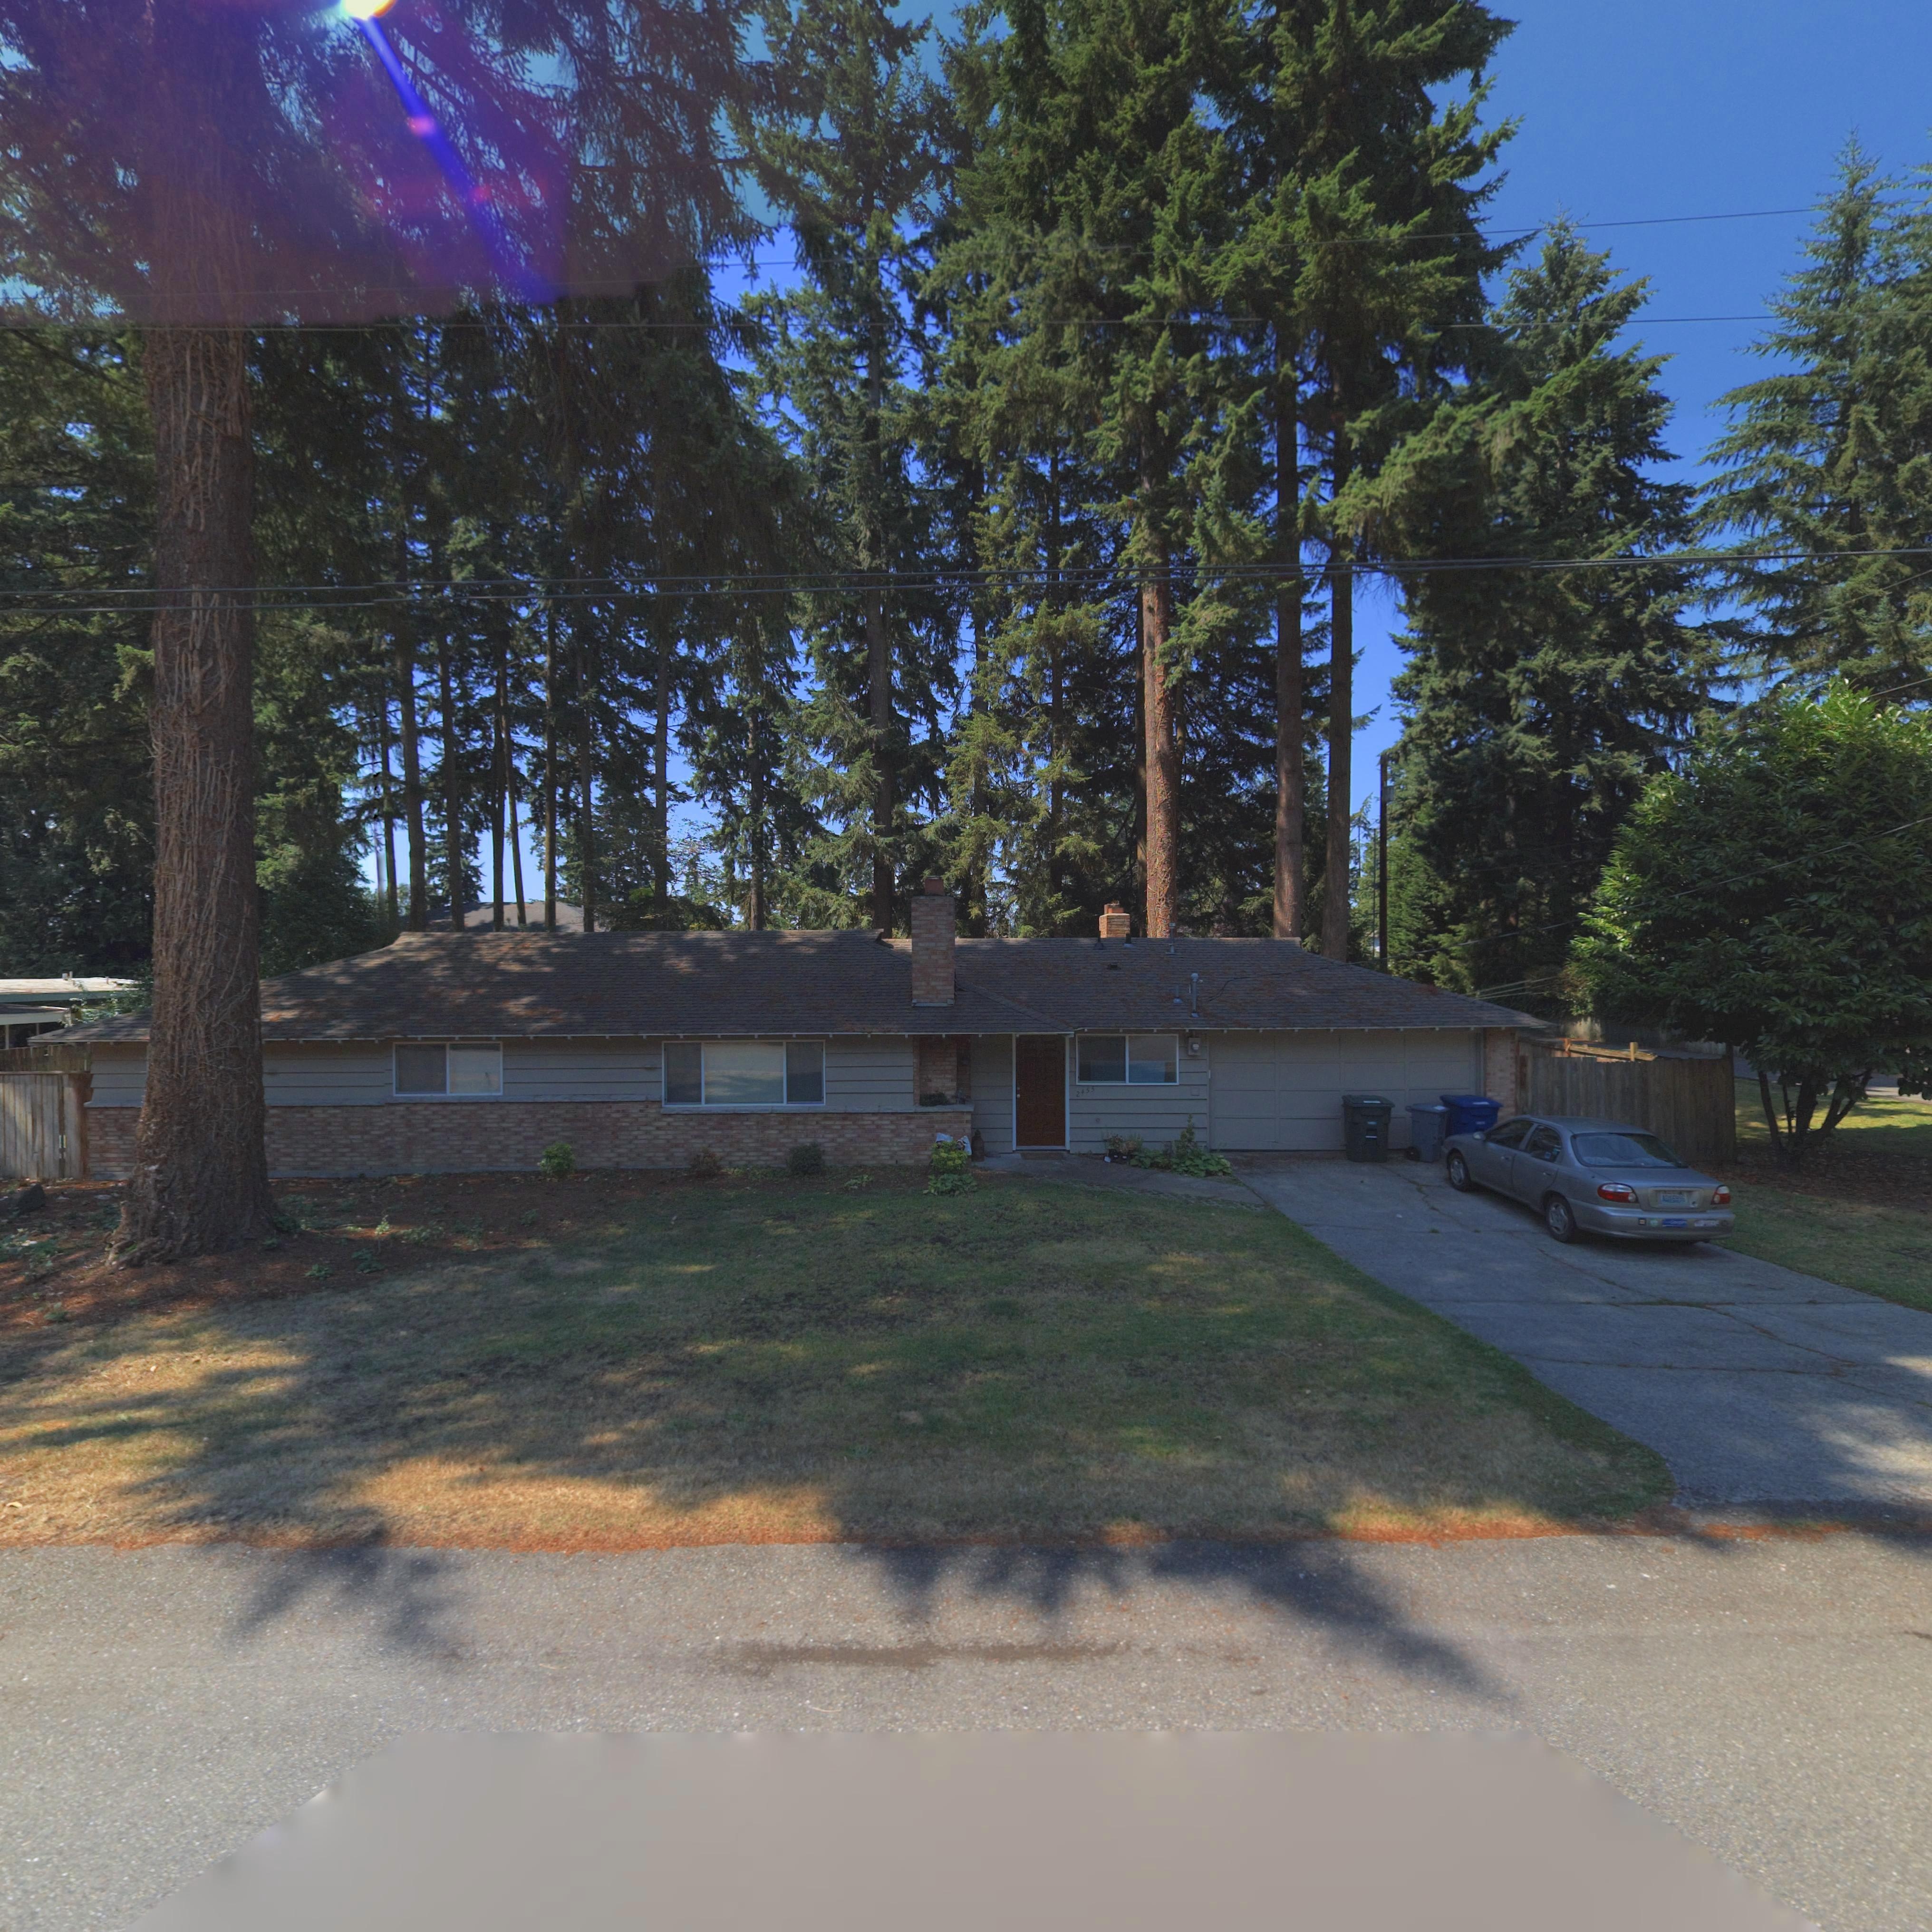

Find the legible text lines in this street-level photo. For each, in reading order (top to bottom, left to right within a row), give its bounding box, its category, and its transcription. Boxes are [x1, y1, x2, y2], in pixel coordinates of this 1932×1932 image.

[1075, 1085, 1095, 1097] StreetNumber: 2455